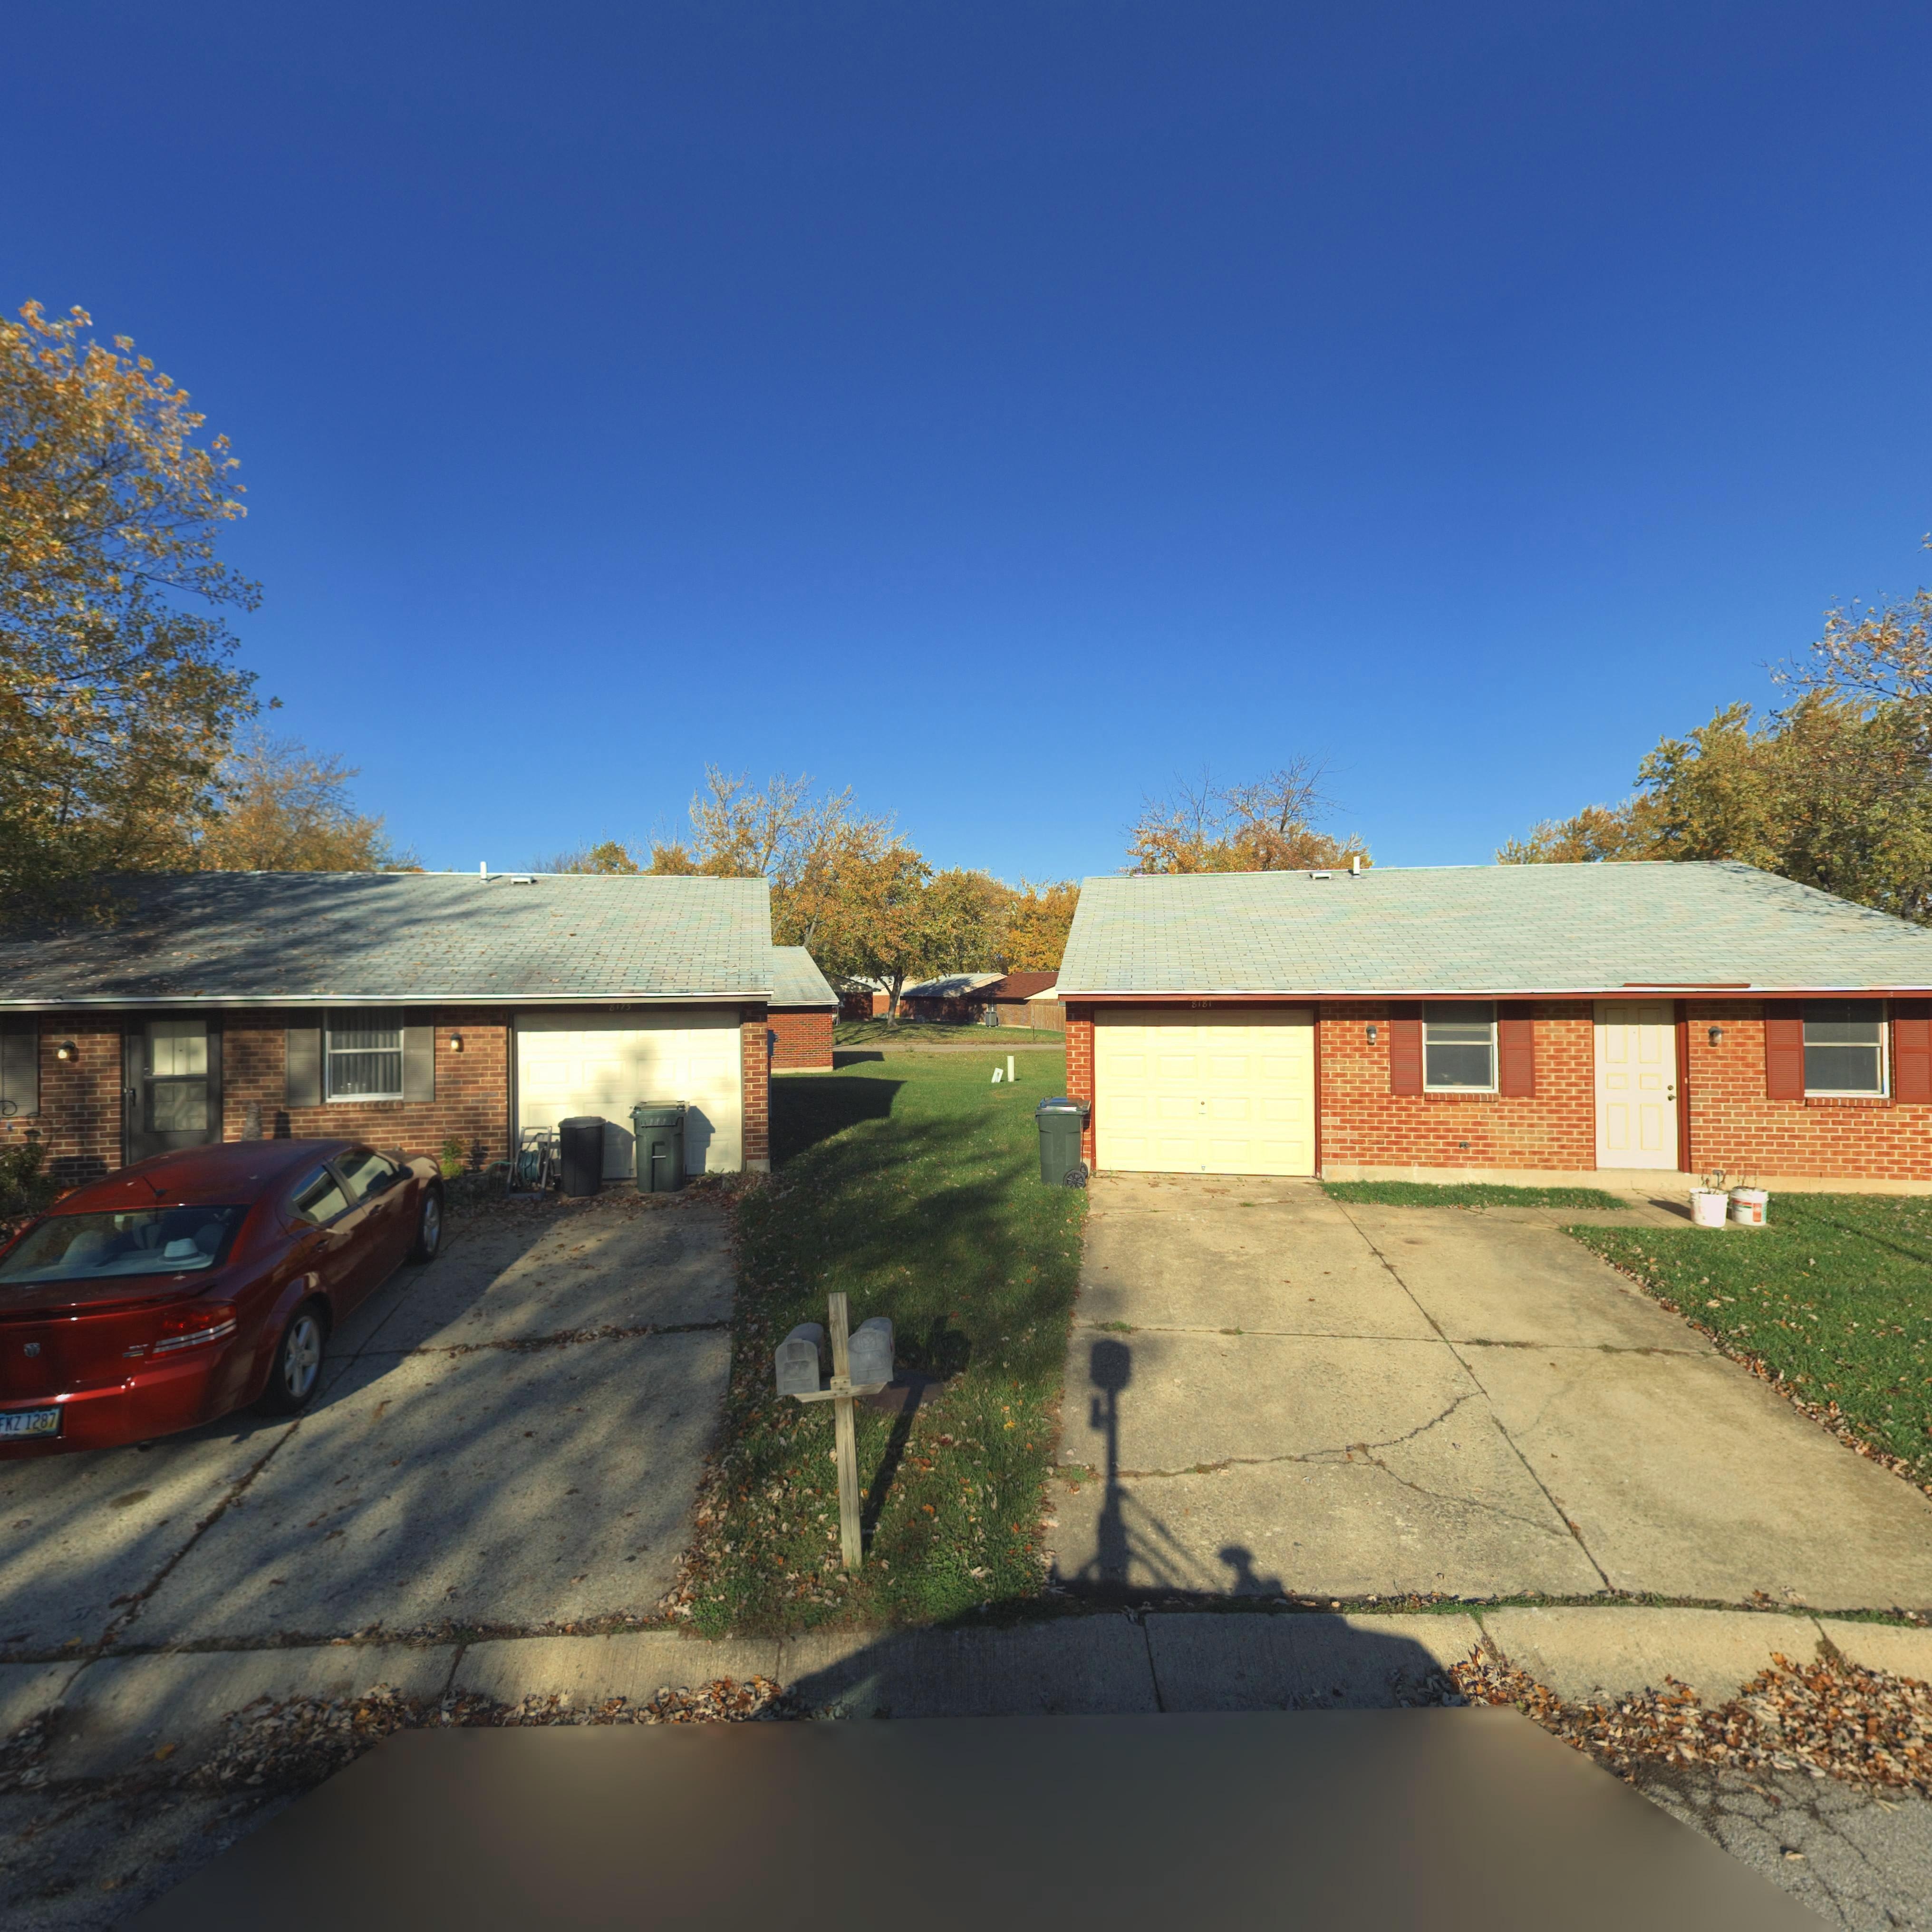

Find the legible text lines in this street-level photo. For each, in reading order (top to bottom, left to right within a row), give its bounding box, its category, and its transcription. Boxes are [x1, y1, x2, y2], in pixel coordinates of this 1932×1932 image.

[609, 1003, 631, 1012] StreetNumber: 8173
[1191, 1000, 1212, 1008] StreetNumber: 8181